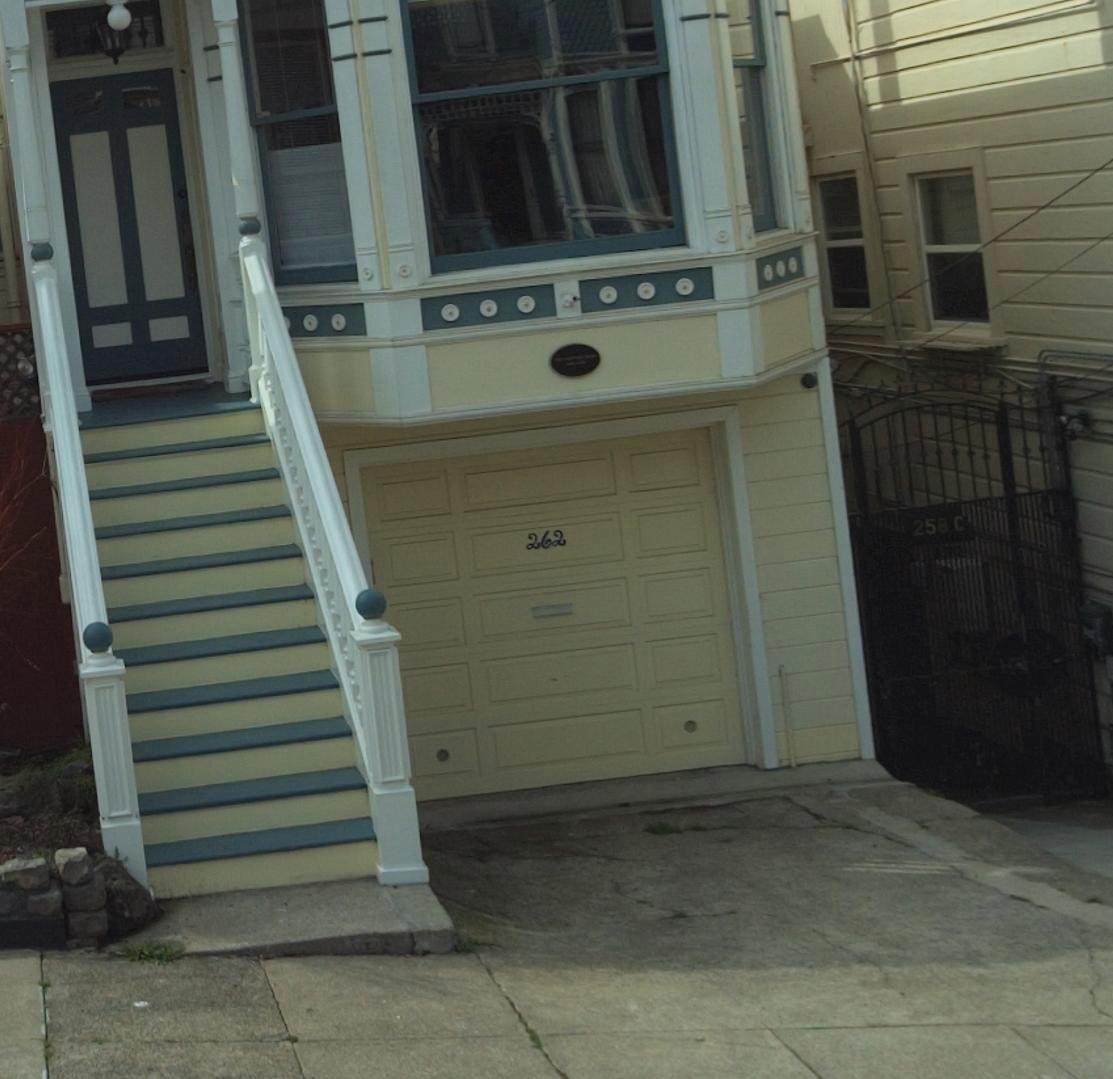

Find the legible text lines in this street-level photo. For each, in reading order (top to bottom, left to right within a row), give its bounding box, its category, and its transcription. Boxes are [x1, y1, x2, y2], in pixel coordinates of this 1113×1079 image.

[526, 528, 568, 552] StreetNumber: 262